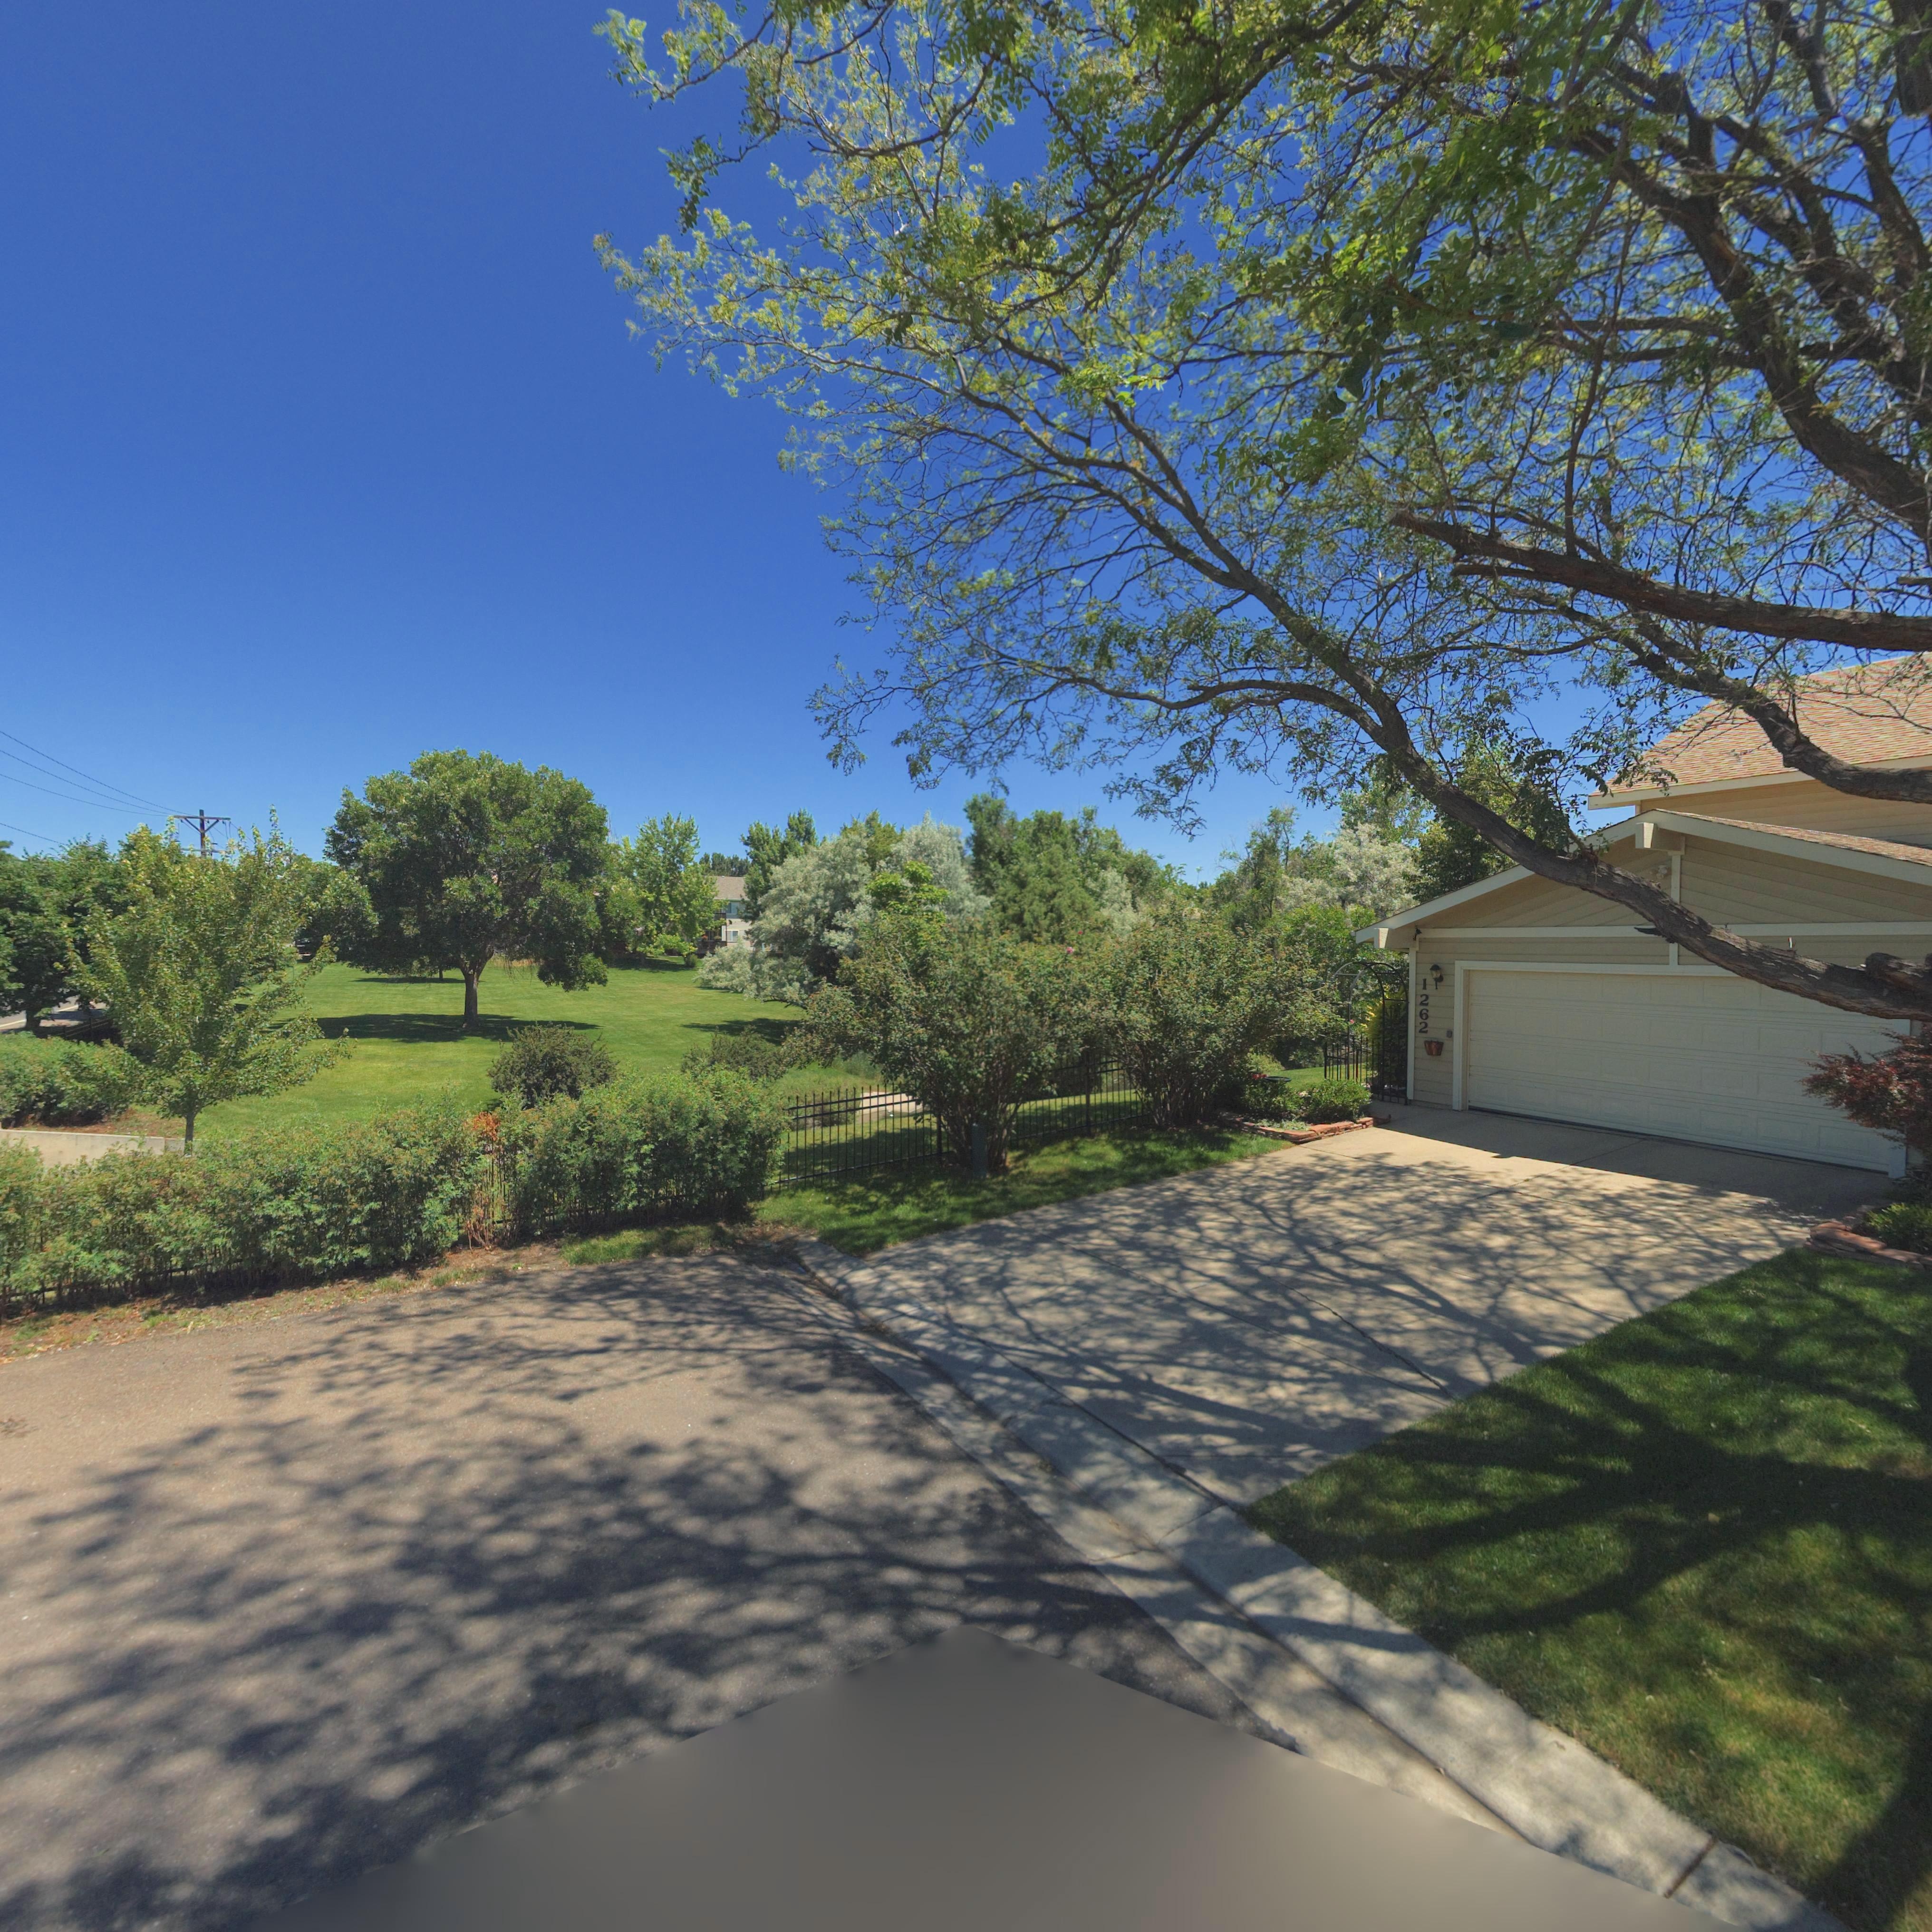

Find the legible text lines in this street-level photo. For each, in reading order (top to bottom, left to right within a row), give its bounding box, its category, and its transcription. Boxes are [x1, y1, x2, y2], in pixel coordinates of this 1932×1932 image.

[1418, 978, 1429, 1034] StreetNumber: 1262